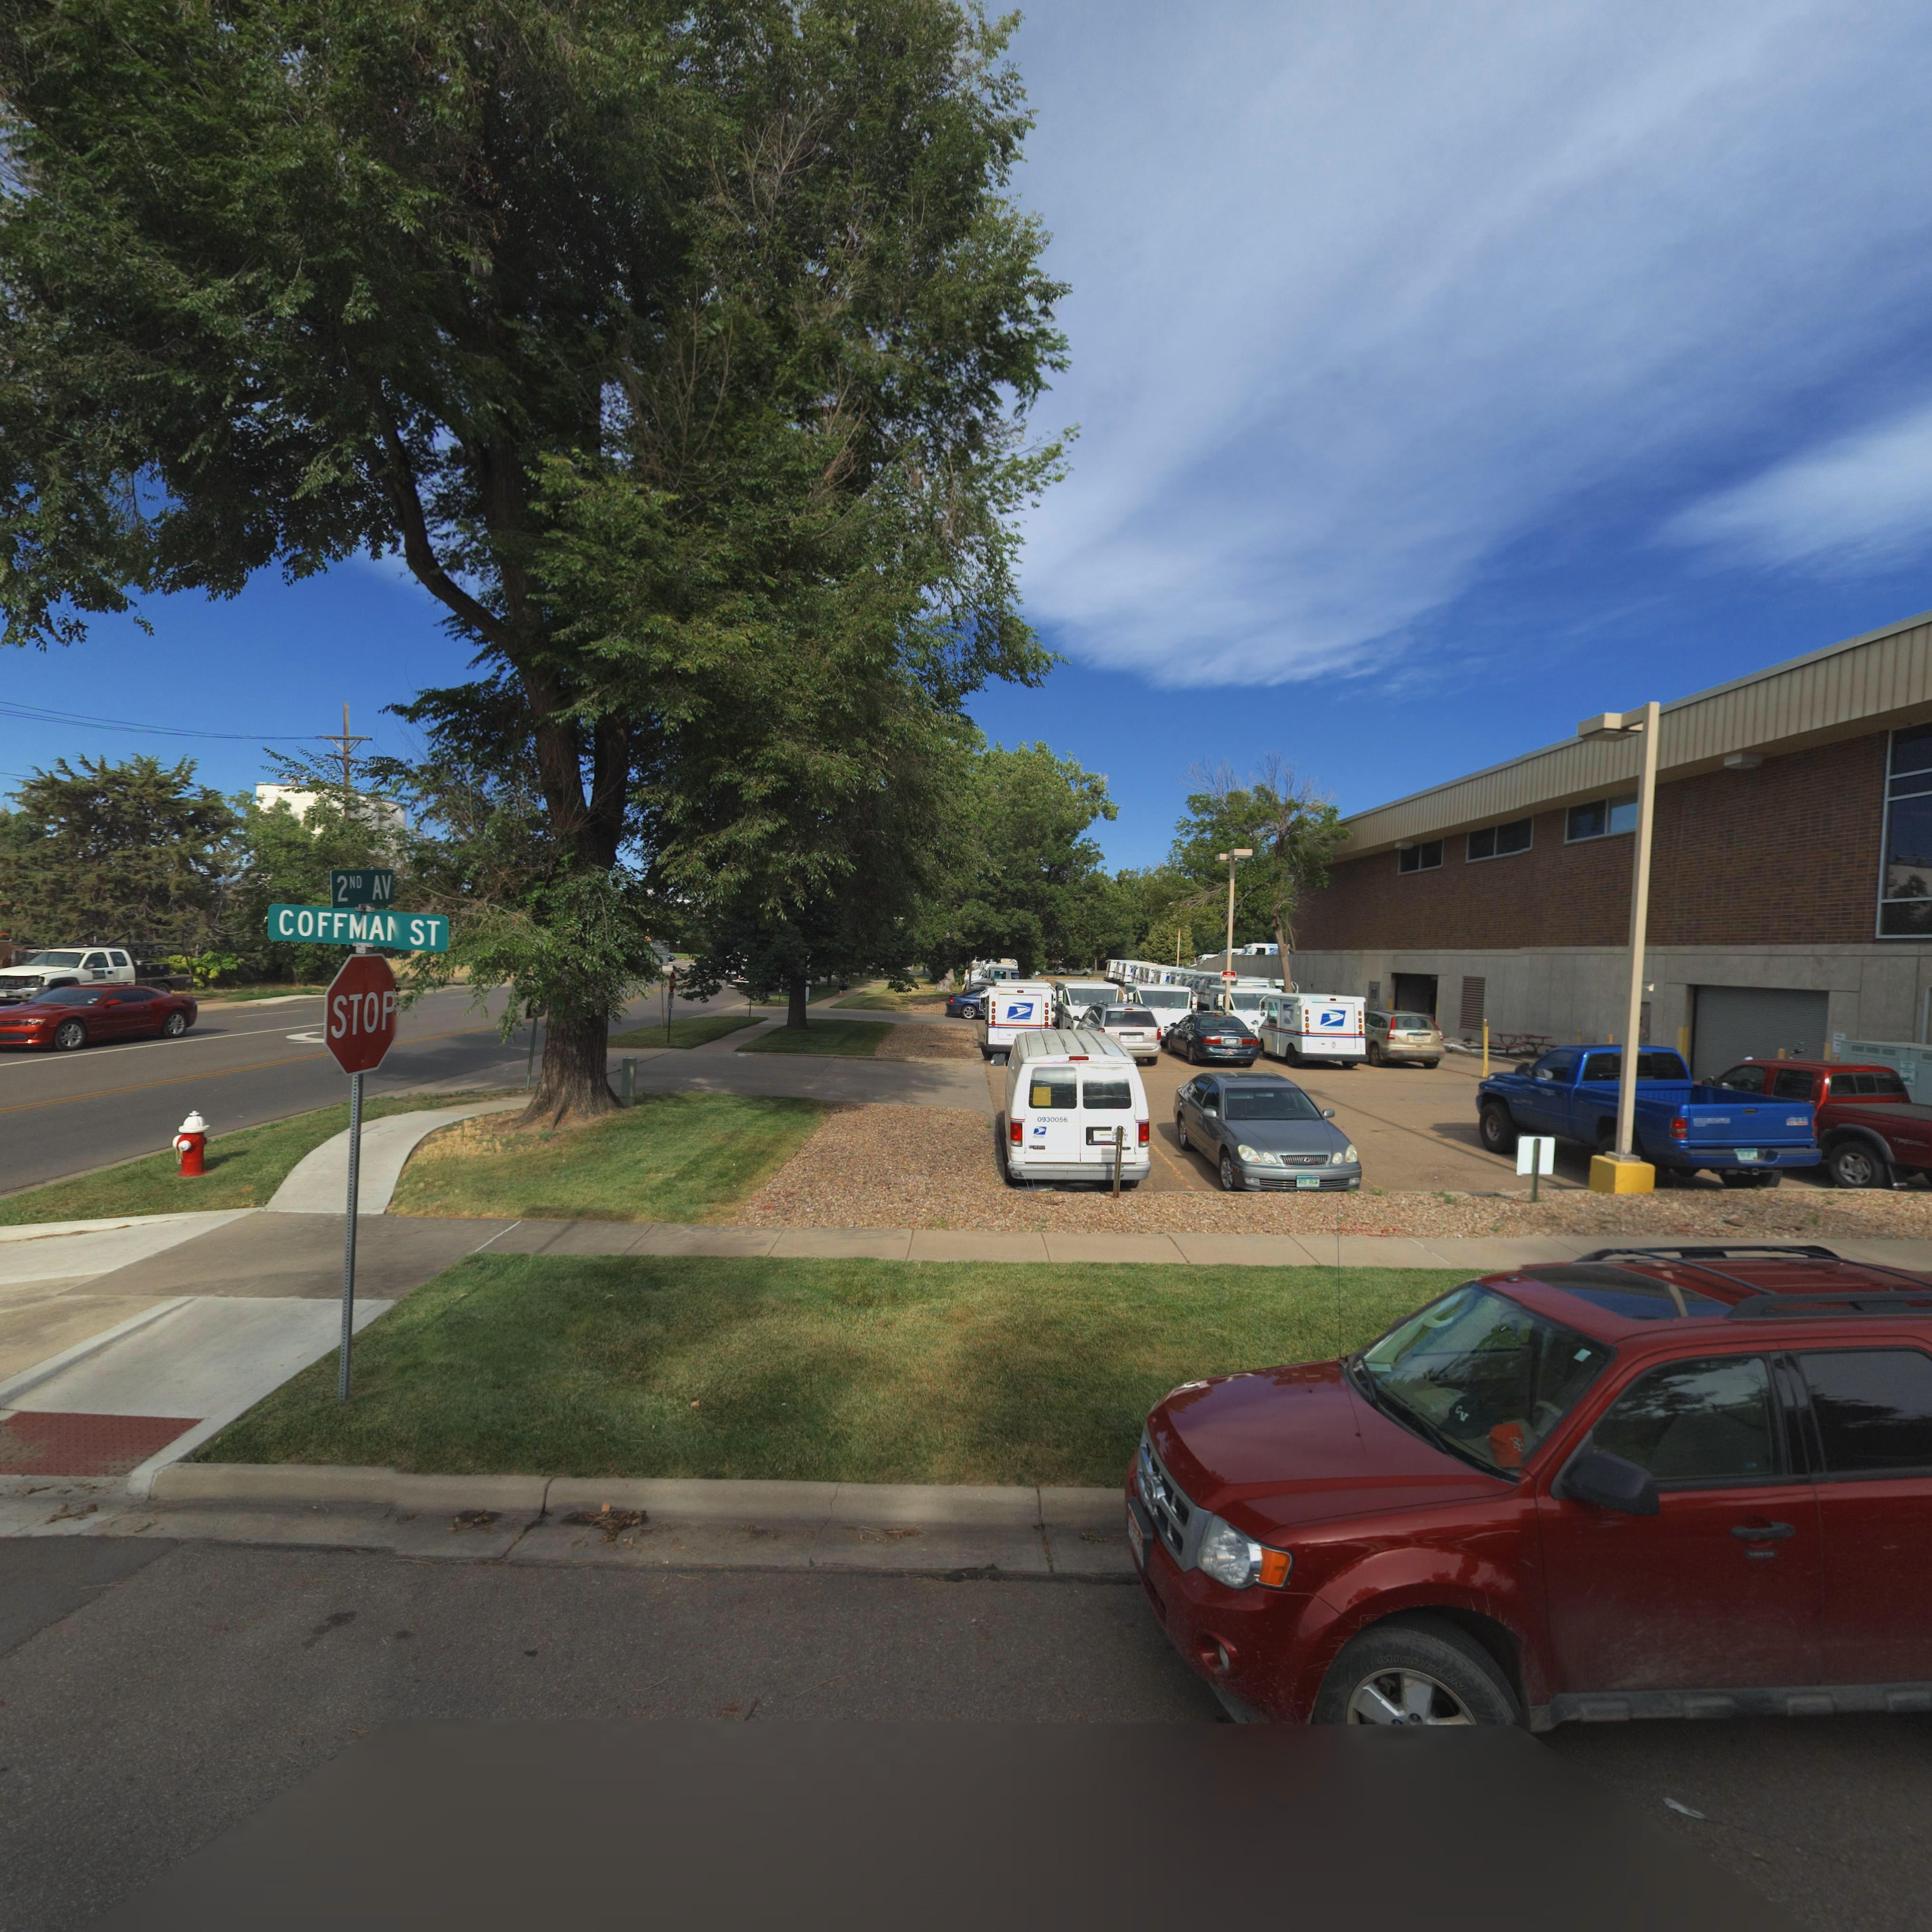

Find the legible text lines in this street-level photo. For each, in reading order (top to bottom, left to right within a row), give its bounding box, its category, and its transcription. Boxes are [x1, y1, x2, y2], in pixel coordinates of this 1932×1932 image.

[336, 873, 393, 903] StreetName: 2ND AV
[276, 907, 442, 946] StreetName: COFFMAN ST